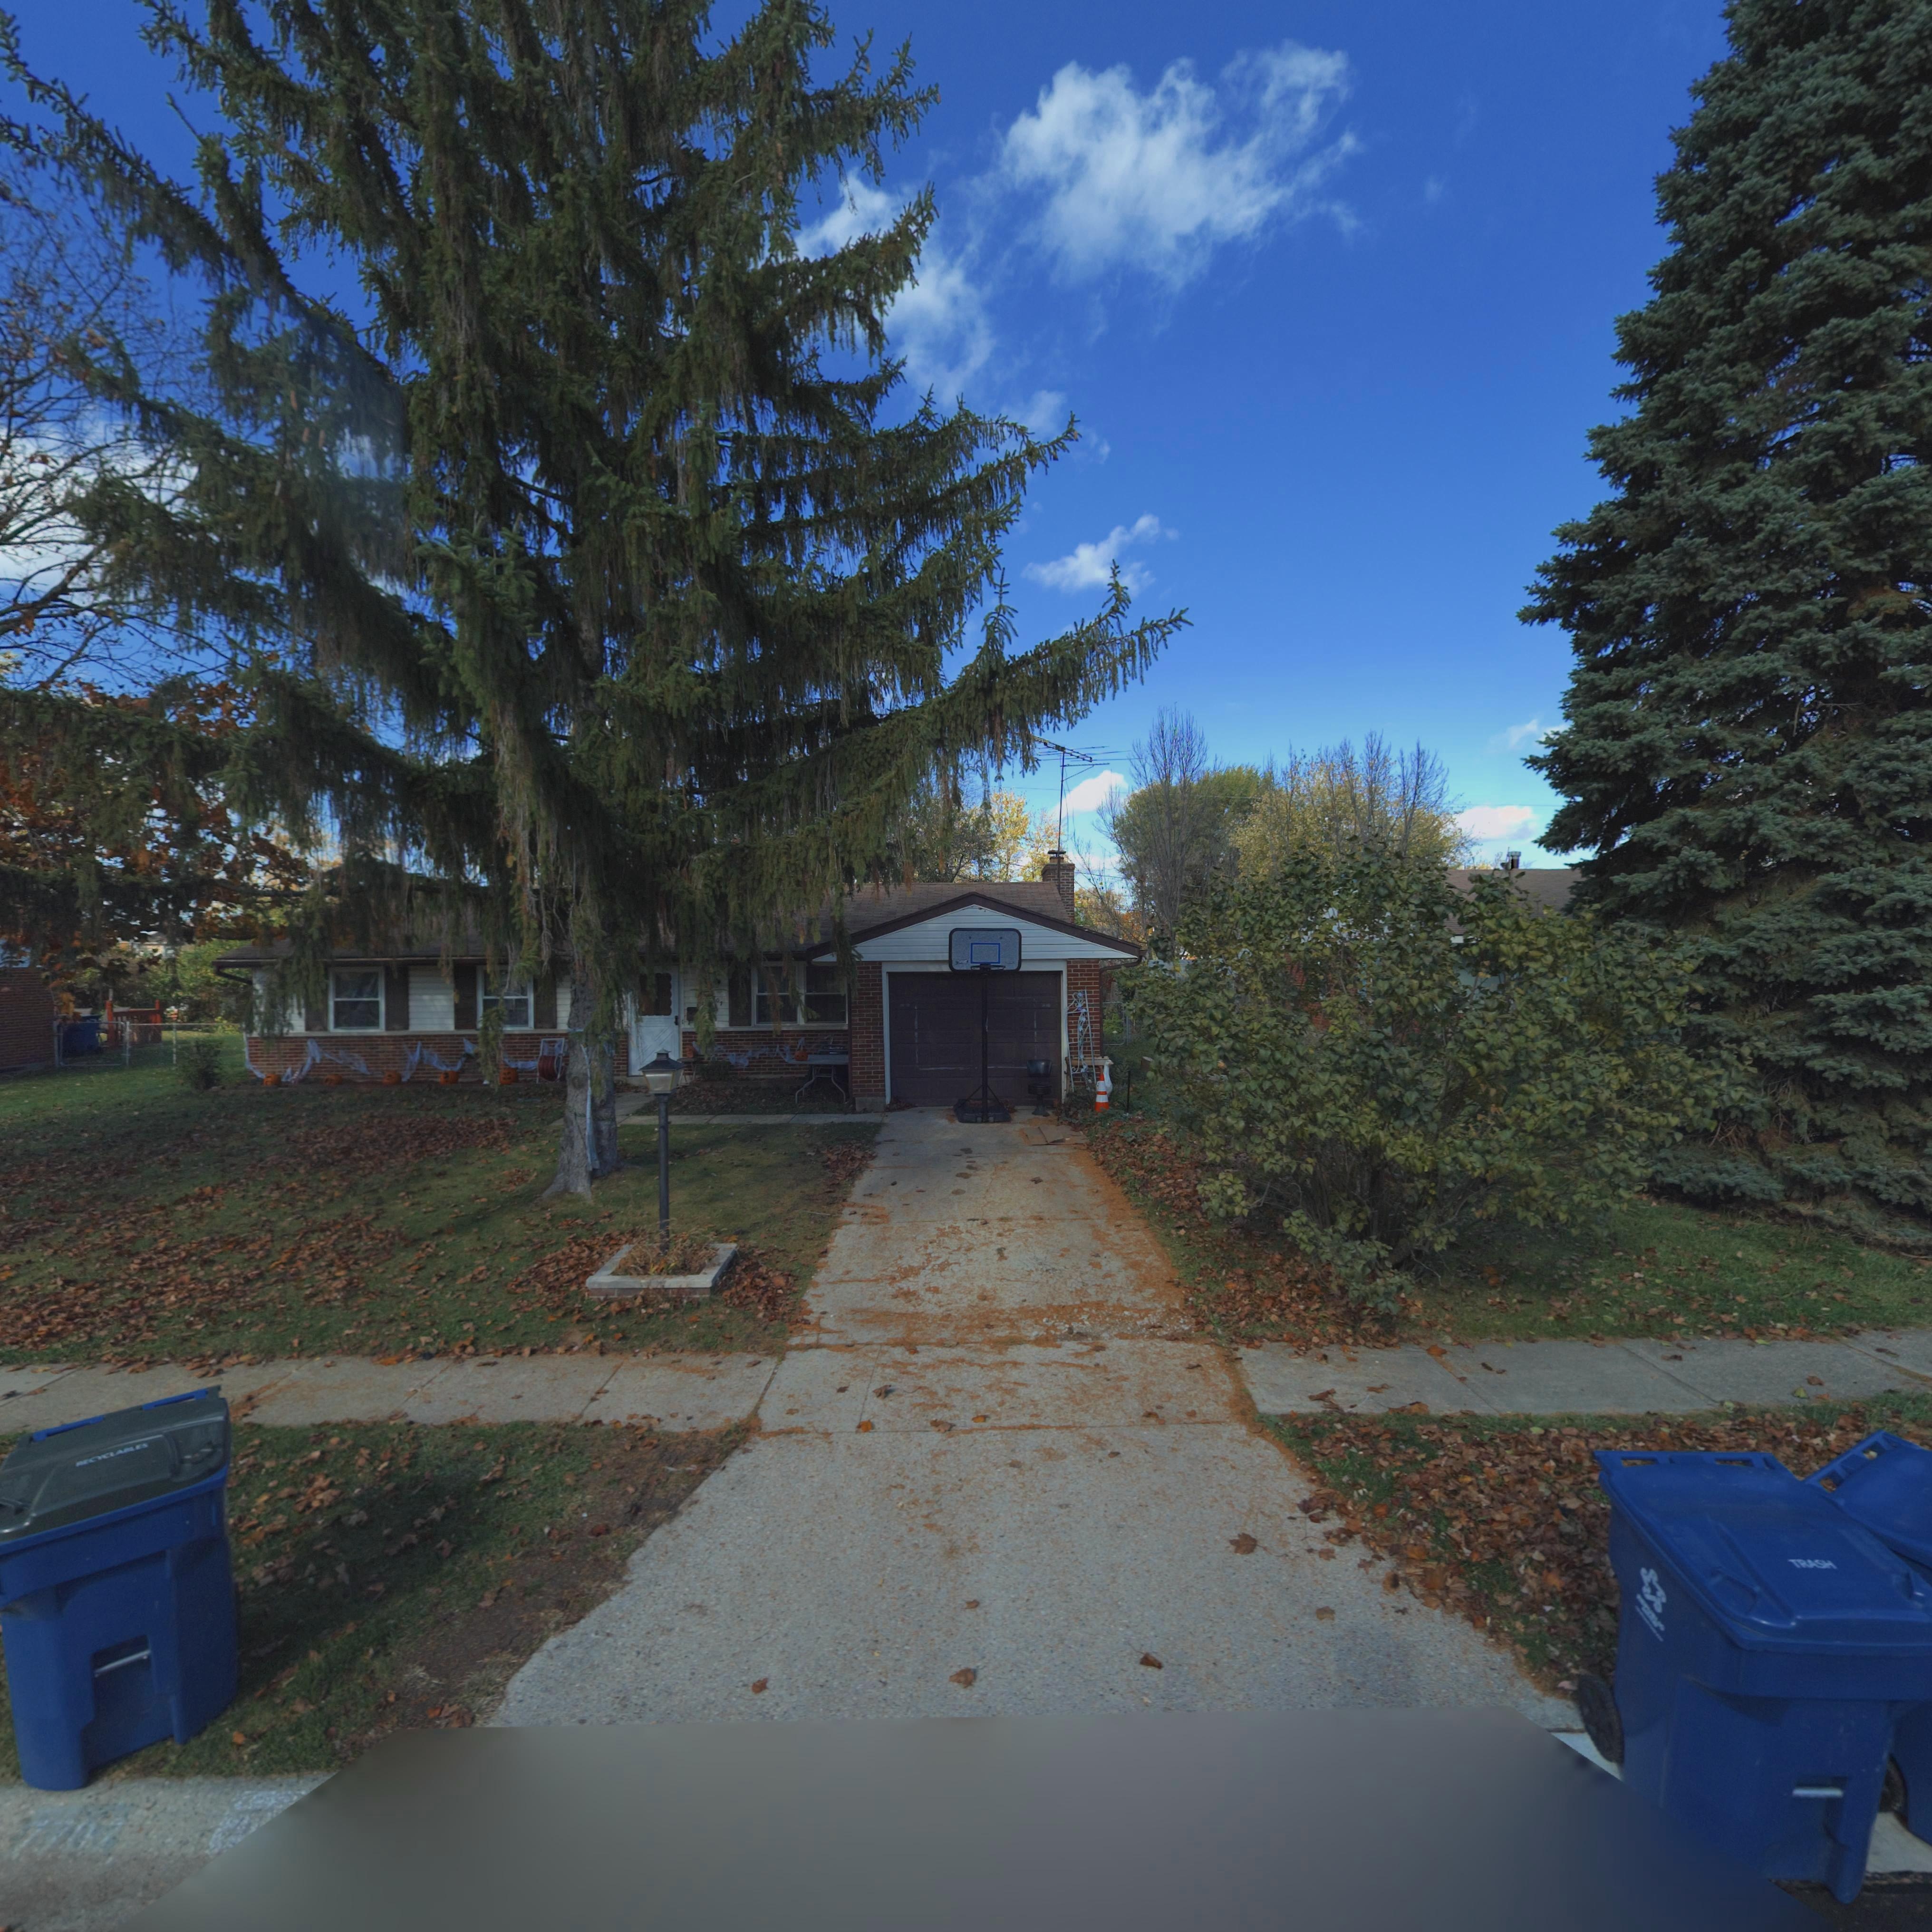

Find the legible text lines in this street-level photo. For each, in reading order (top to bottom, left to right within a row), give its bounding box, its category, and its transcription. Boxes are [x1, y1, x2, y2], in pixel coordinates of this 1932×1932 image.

[715, 997, 724, 1007] StreetNumber: 07
[2, 1817, 131, 1861] StreetNumber: 7702